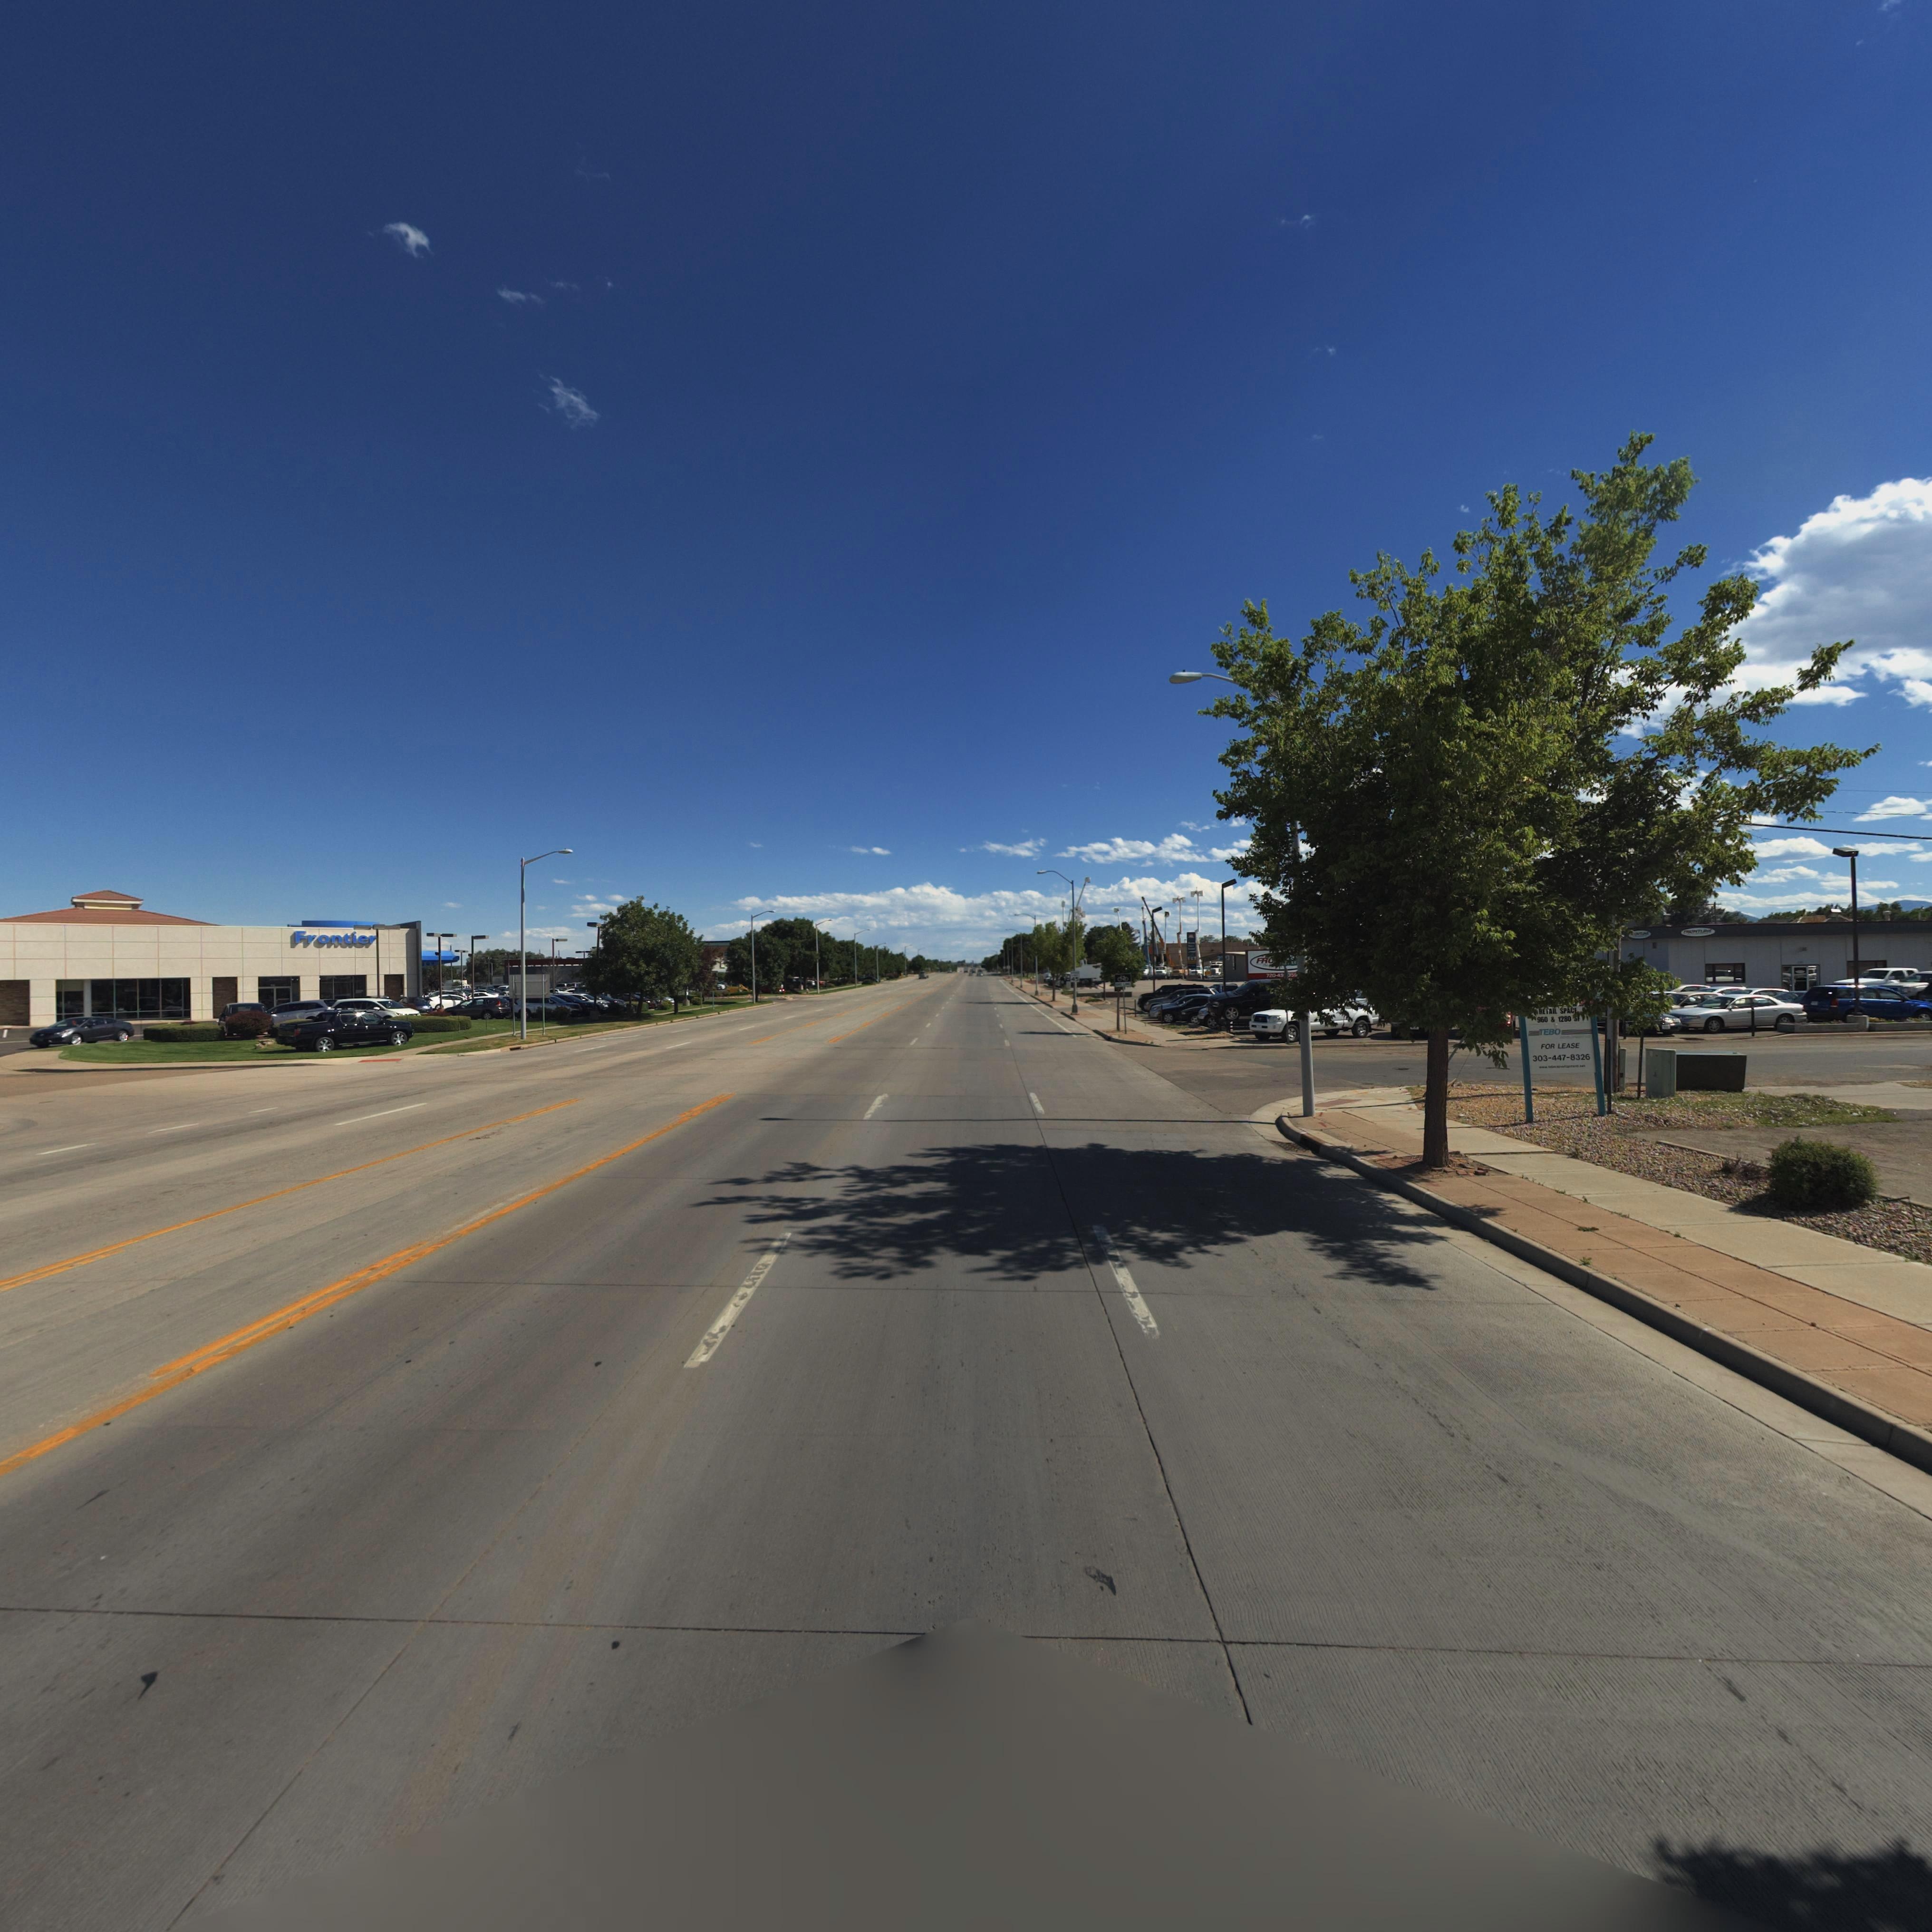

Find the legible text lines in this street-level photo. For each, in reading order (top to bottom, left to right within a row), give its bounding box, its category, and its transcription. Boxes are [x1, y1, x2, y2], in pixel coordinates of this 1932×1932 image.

[1682, 928, 1712, 933] BusinessName: ***TL***
[1630, 931, 1649, 937] BusinessName: ********E
[1256, 957, 1303, 964] BusinessName: FR*******